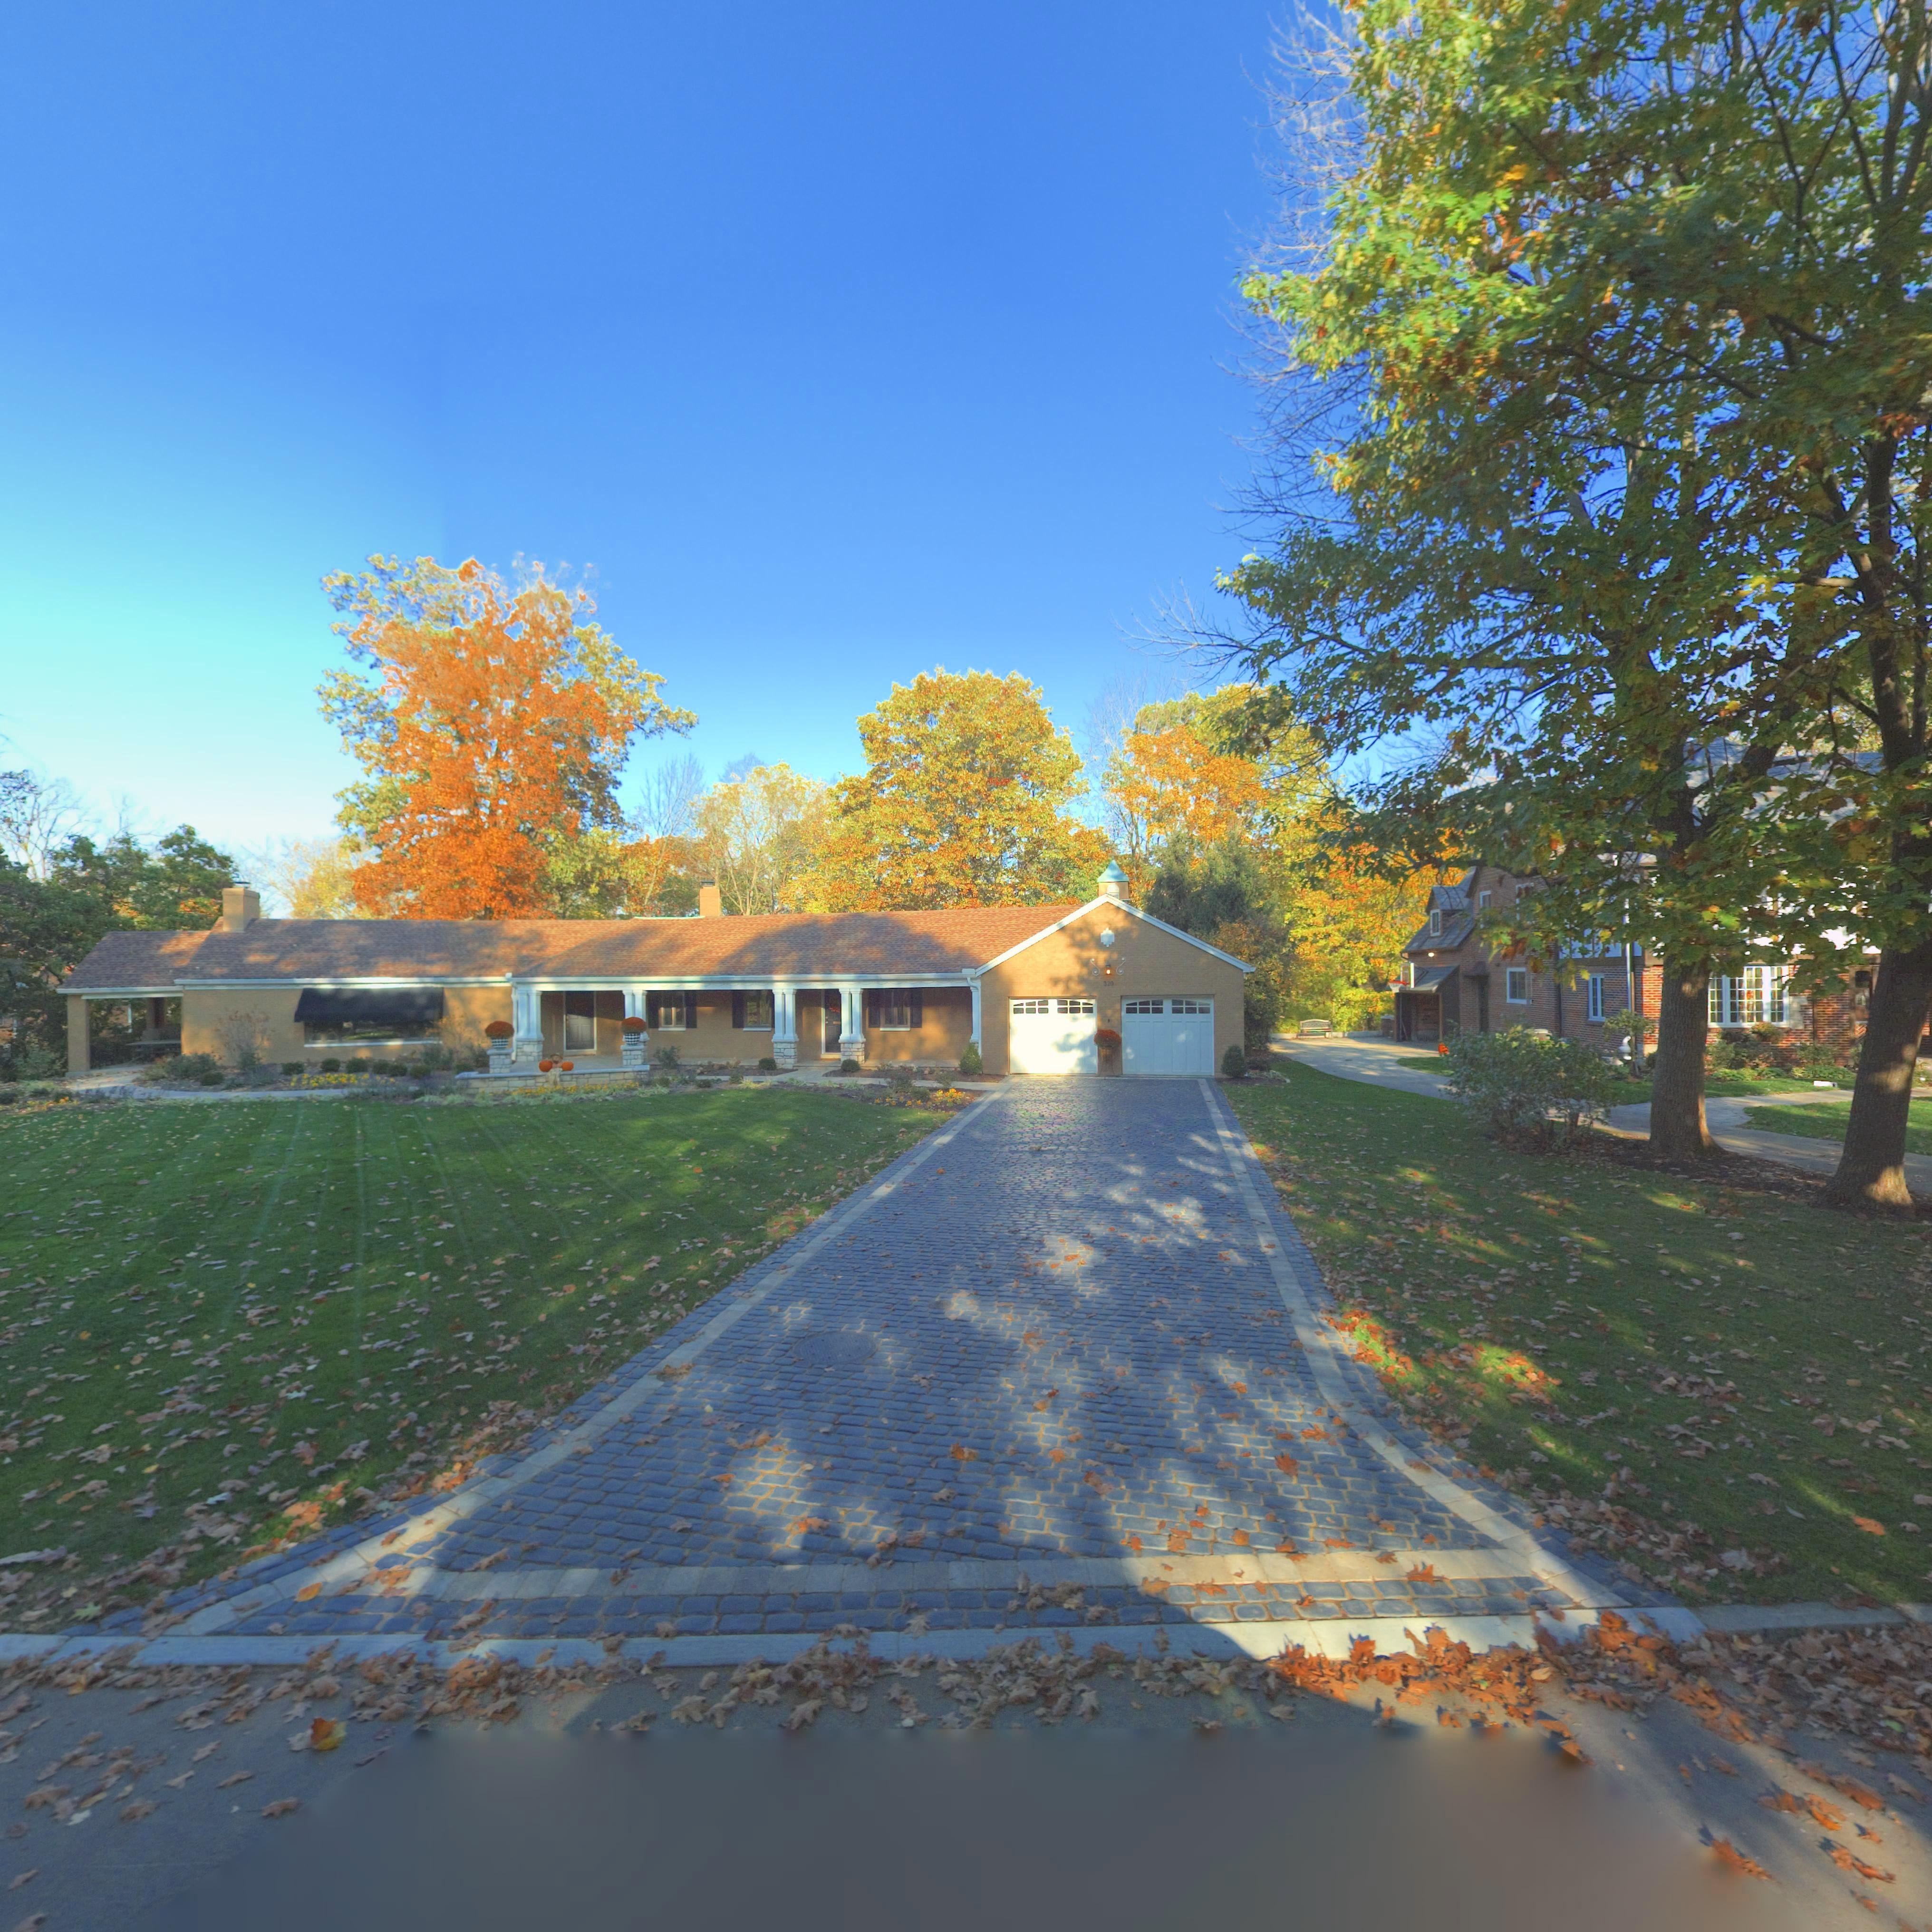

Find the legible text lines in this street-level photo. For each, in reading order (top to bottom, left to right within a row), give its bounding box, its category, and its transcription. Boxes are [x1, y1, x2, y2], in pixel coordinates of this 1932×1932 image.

[1103, 980, 1114, 987] StreetNumber: 320